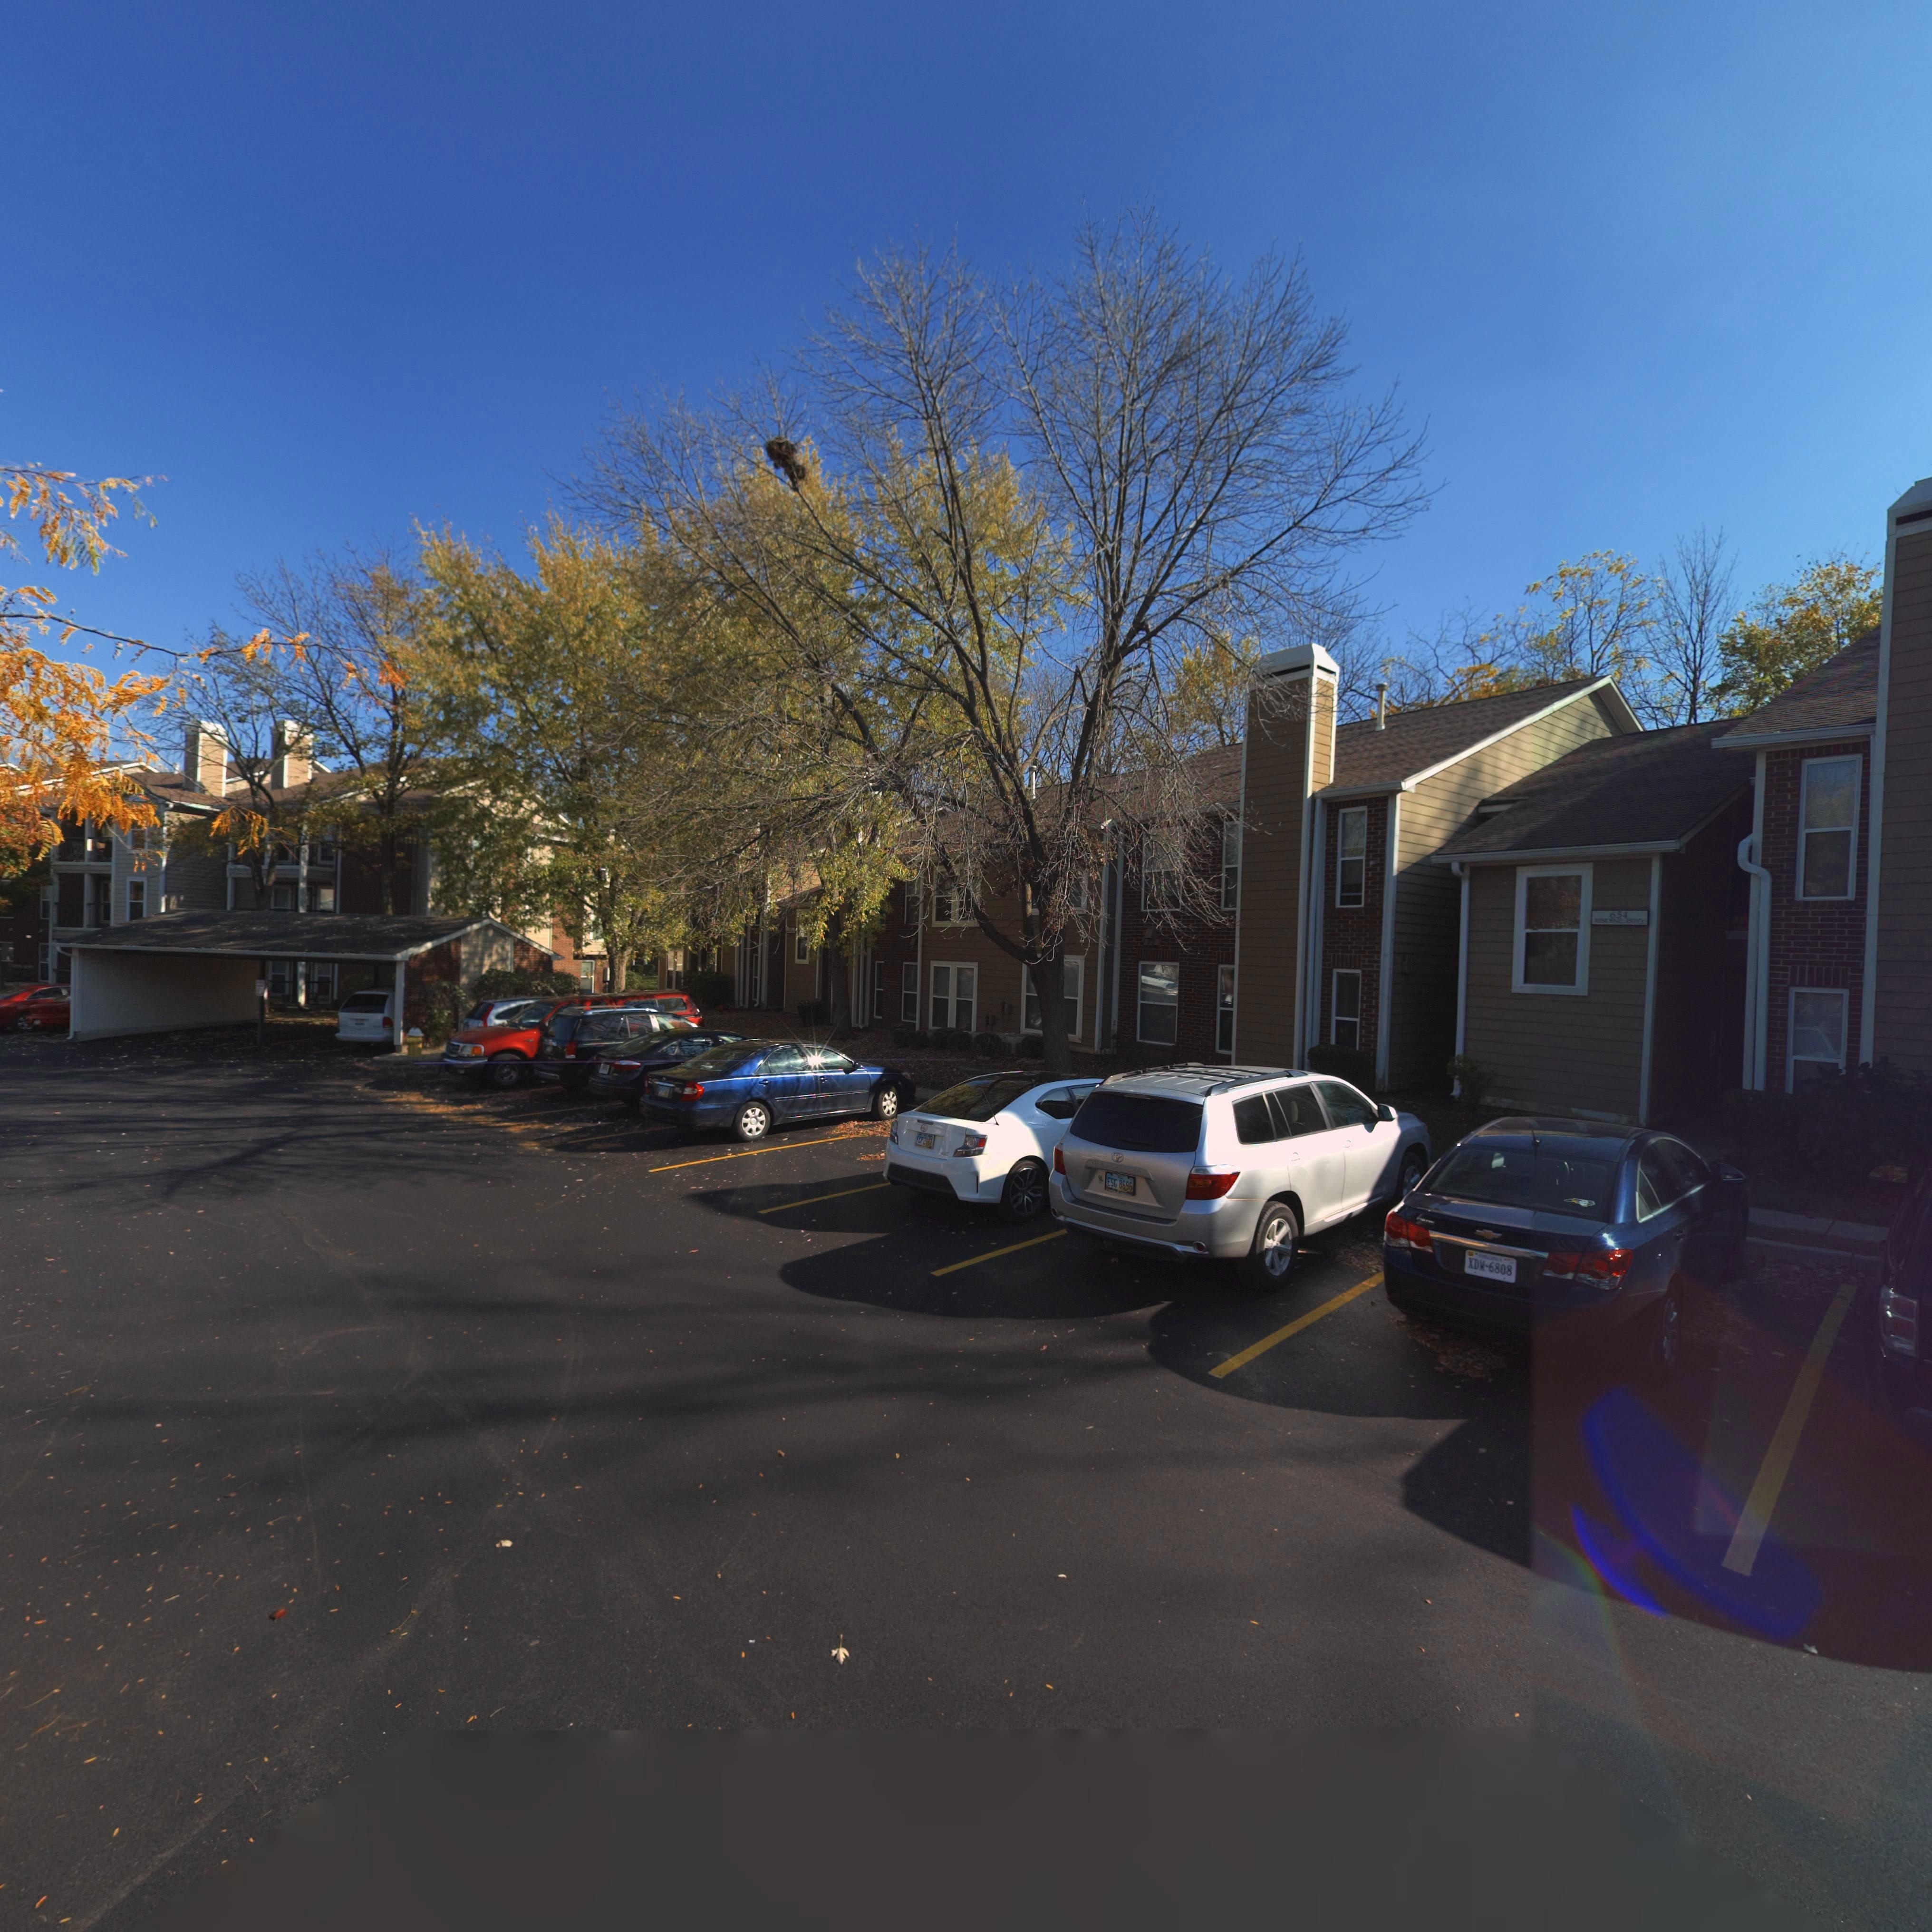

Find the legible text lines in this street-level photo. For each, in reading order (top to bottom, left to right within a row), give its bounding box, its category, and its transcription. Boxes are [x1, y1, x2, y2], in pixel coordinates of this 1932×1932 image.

[1608, 910, 1630, 919] StreetNumber: 654
[915, 1134, 925, 1144] None: *CP
[1106, 1176, 1134, 1192] None: ES* 8696
[1467, 1256, 1514, 1277] None: XD*-6808